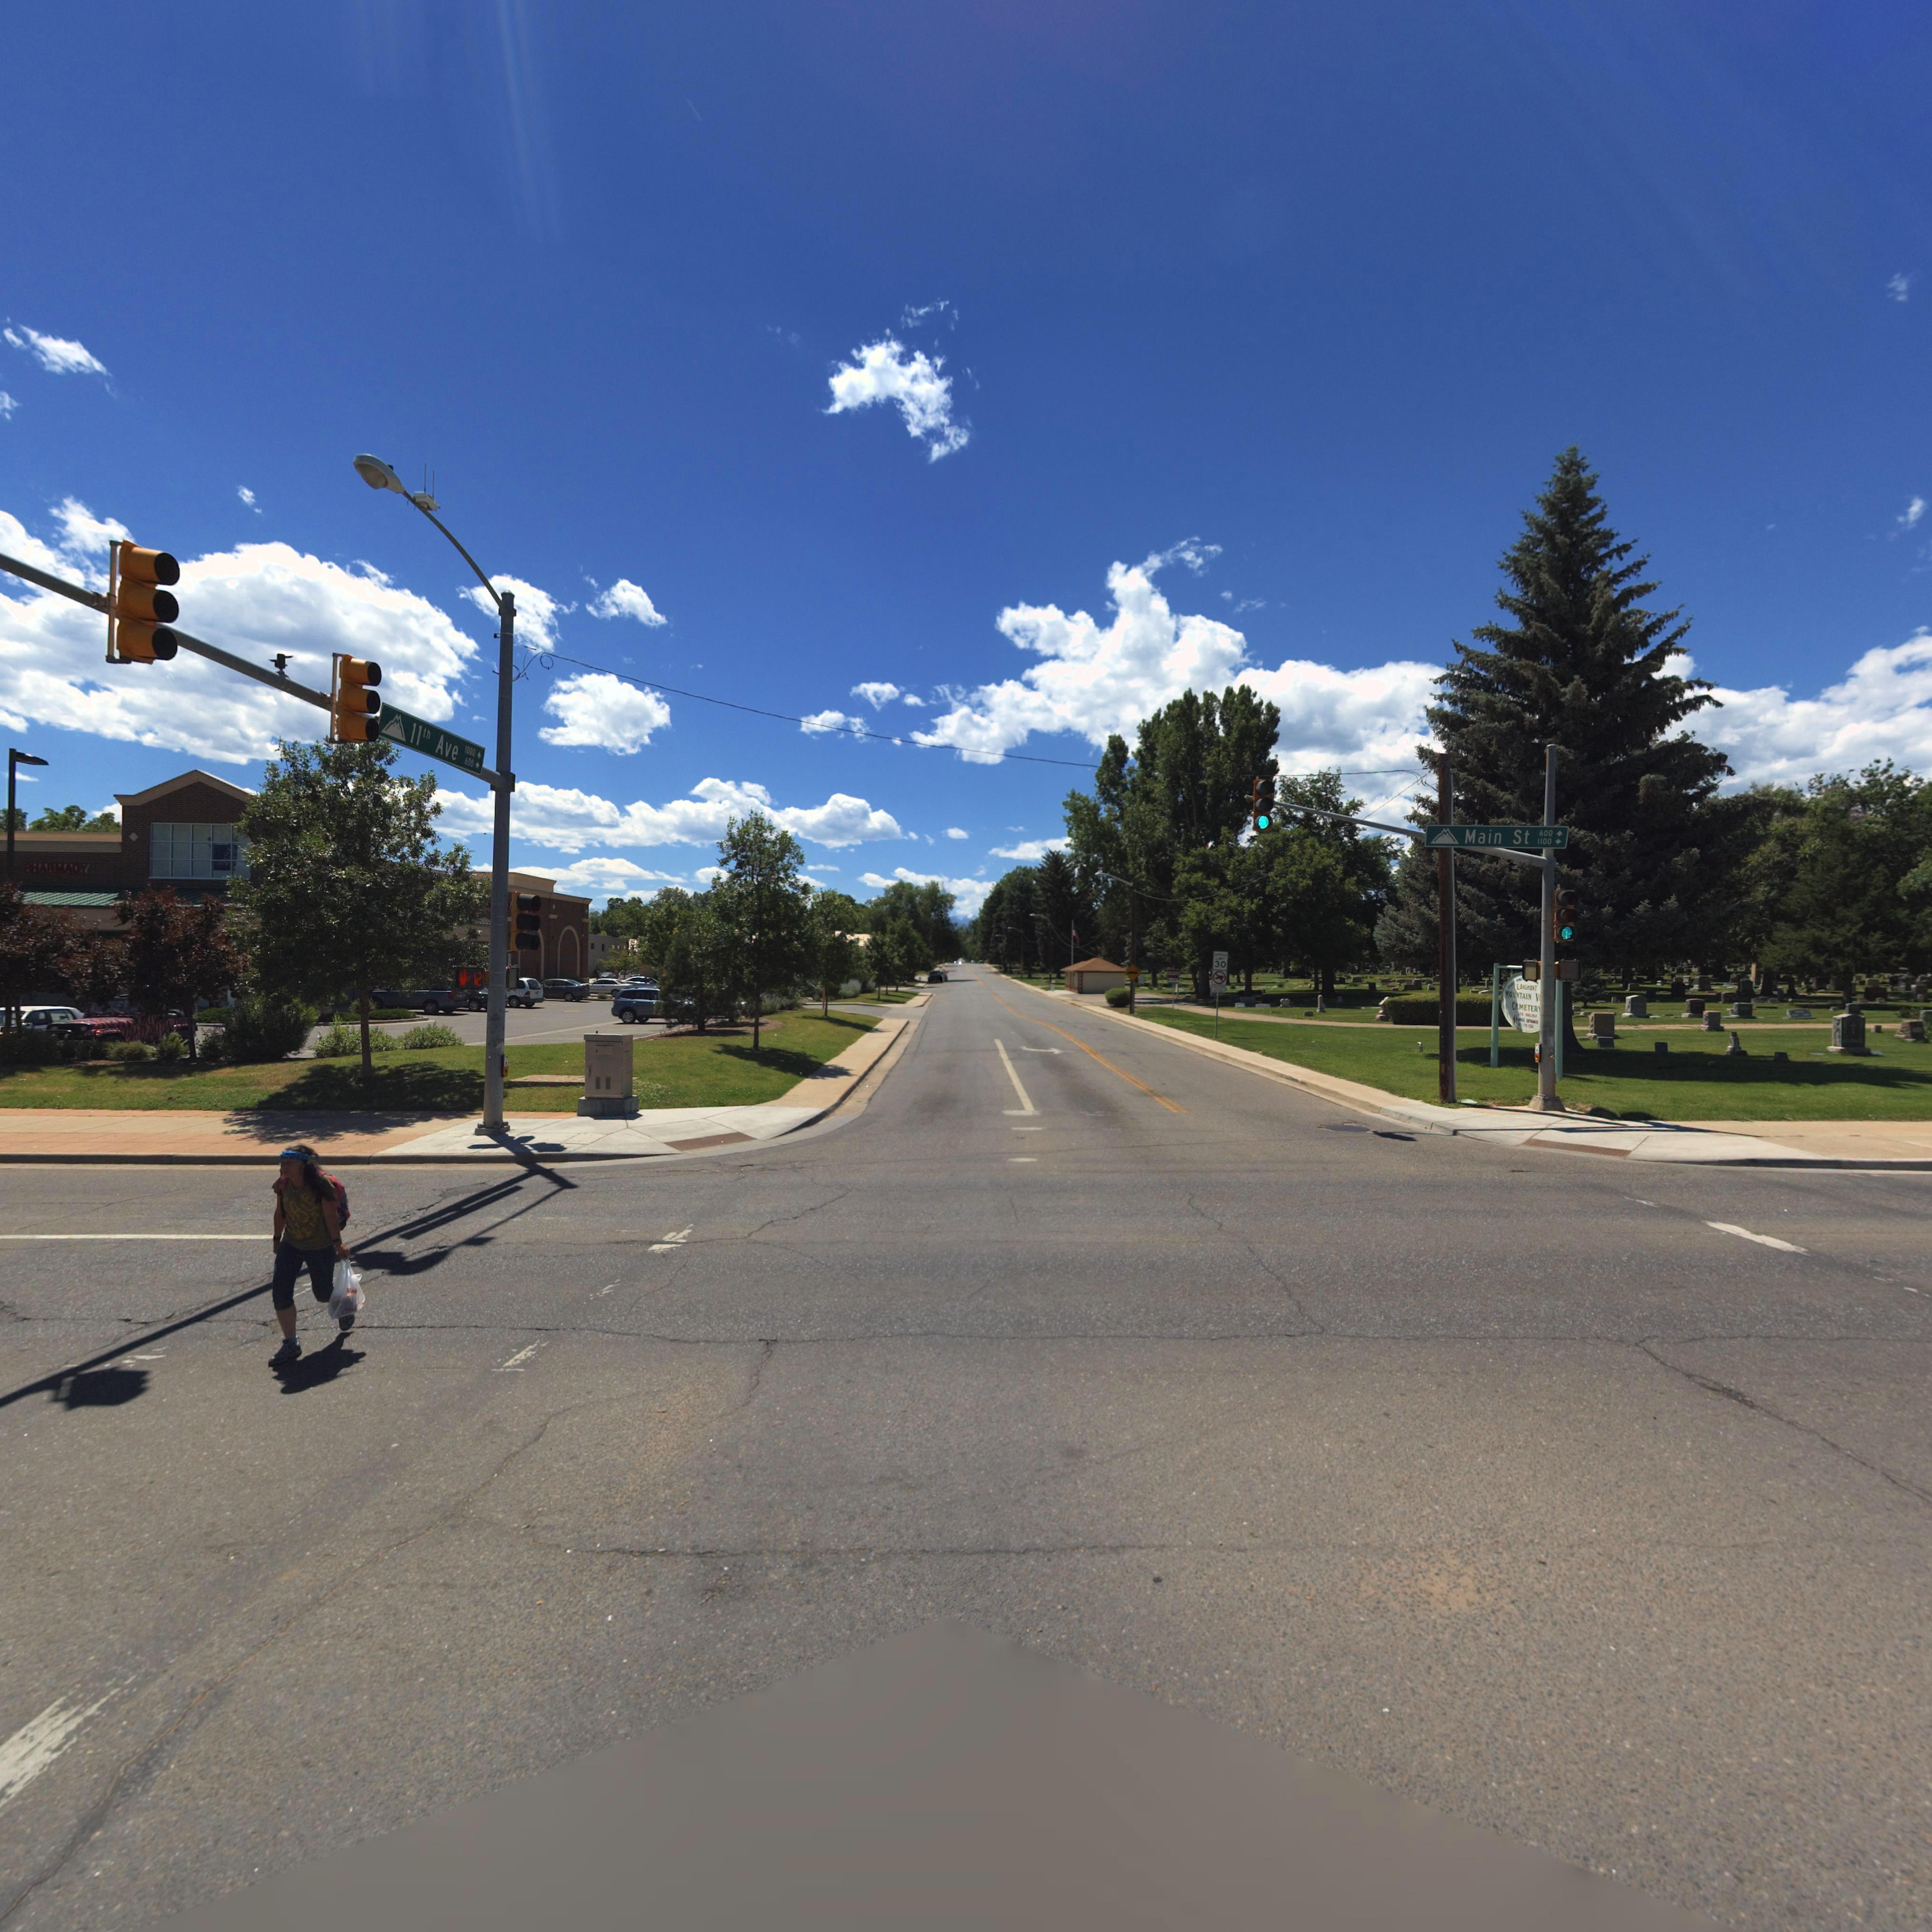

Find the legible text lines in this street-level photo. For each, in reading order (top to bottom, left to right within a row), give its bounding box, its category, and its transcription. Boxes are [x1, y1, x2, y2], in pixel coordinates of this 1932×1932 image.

[409, 722, 459, 761] StreetName: 11th Ave
[464, 744, 476, 757] StreetNumberRange: 1000
[464, 756, 480, 769] StreetNumberRange: 600->
[1464, 828, 1531, 845] StreetName: Main St
[1538, 829, 1553, 837] StreetNumberRange: 600
[1537, 838, 1562, 845] StreetNumberRange: 1100->
[1516, 983, 1538, 991] BusinessName: LO*****T
[1505, 989, 1541, 1002] BusinessName: MO*NTAIN V*
[1511, 1001, 1540, 1013] BusinessName: CEMETER*